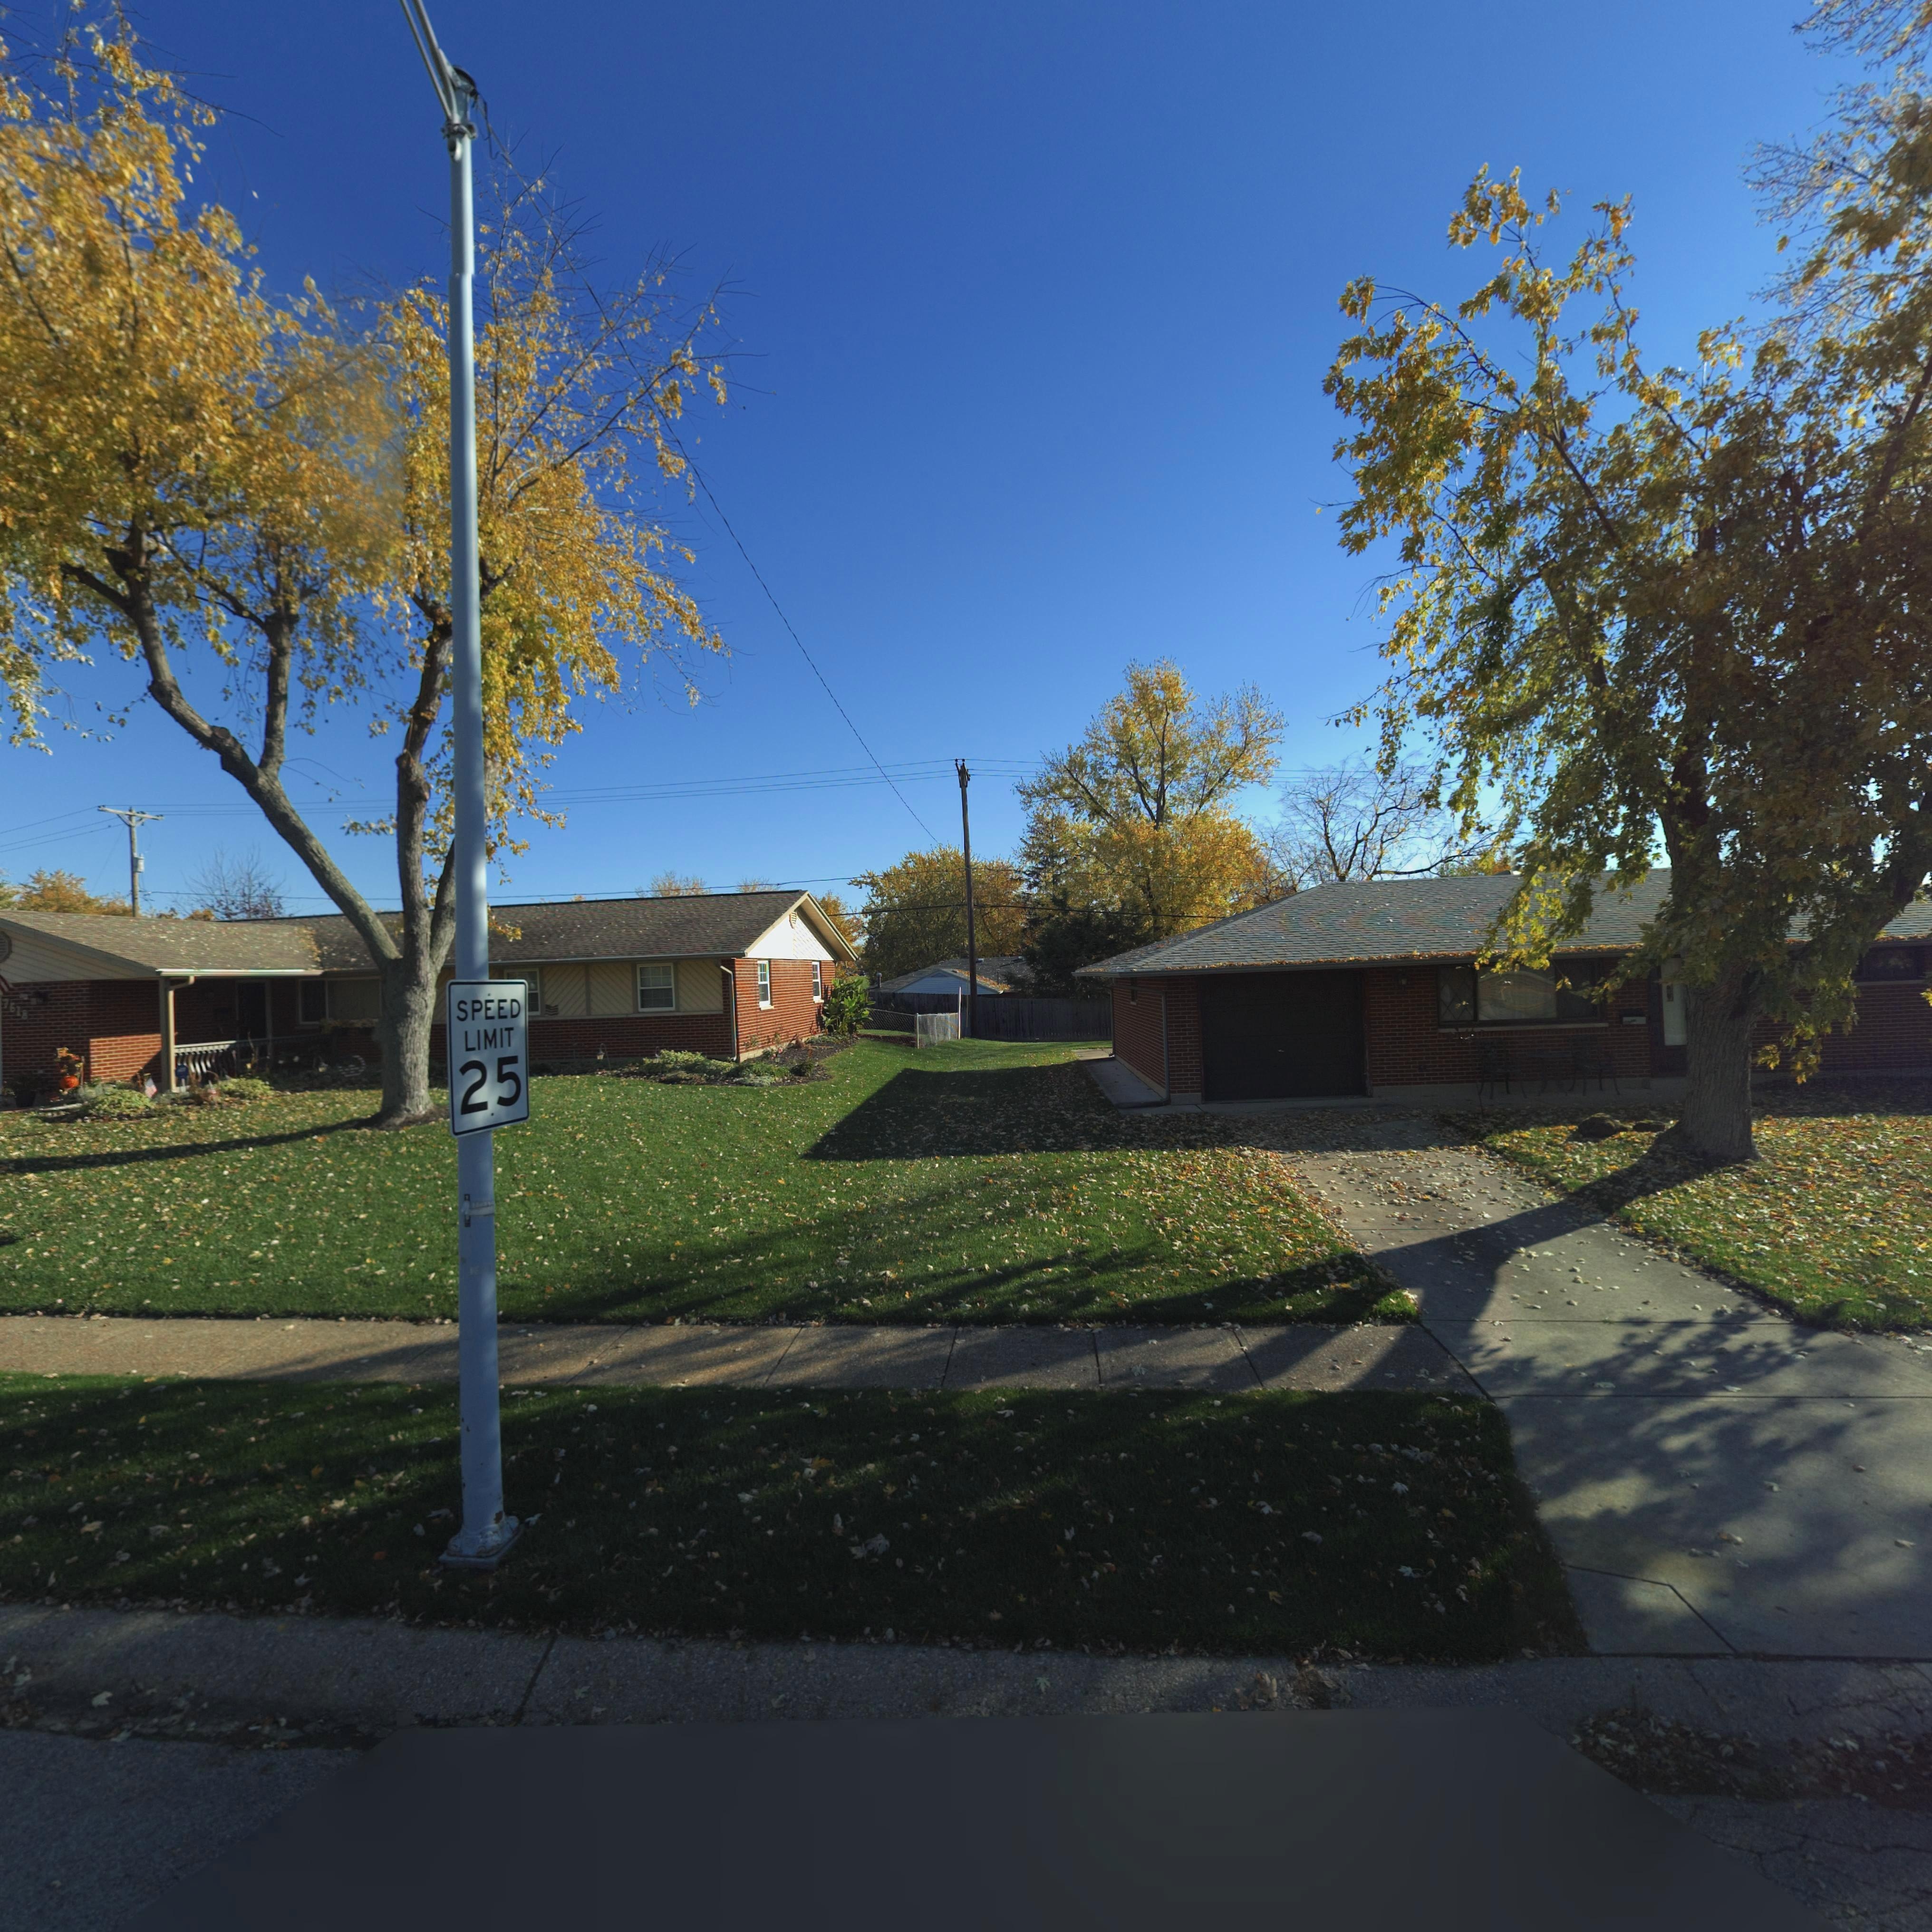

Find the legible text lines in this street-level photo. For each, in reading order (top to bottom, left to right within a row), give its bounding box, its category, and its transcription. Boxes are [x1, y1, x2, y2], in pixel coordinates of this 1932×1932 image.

[2, 997, 29, 1022] StreetNumber: 7618